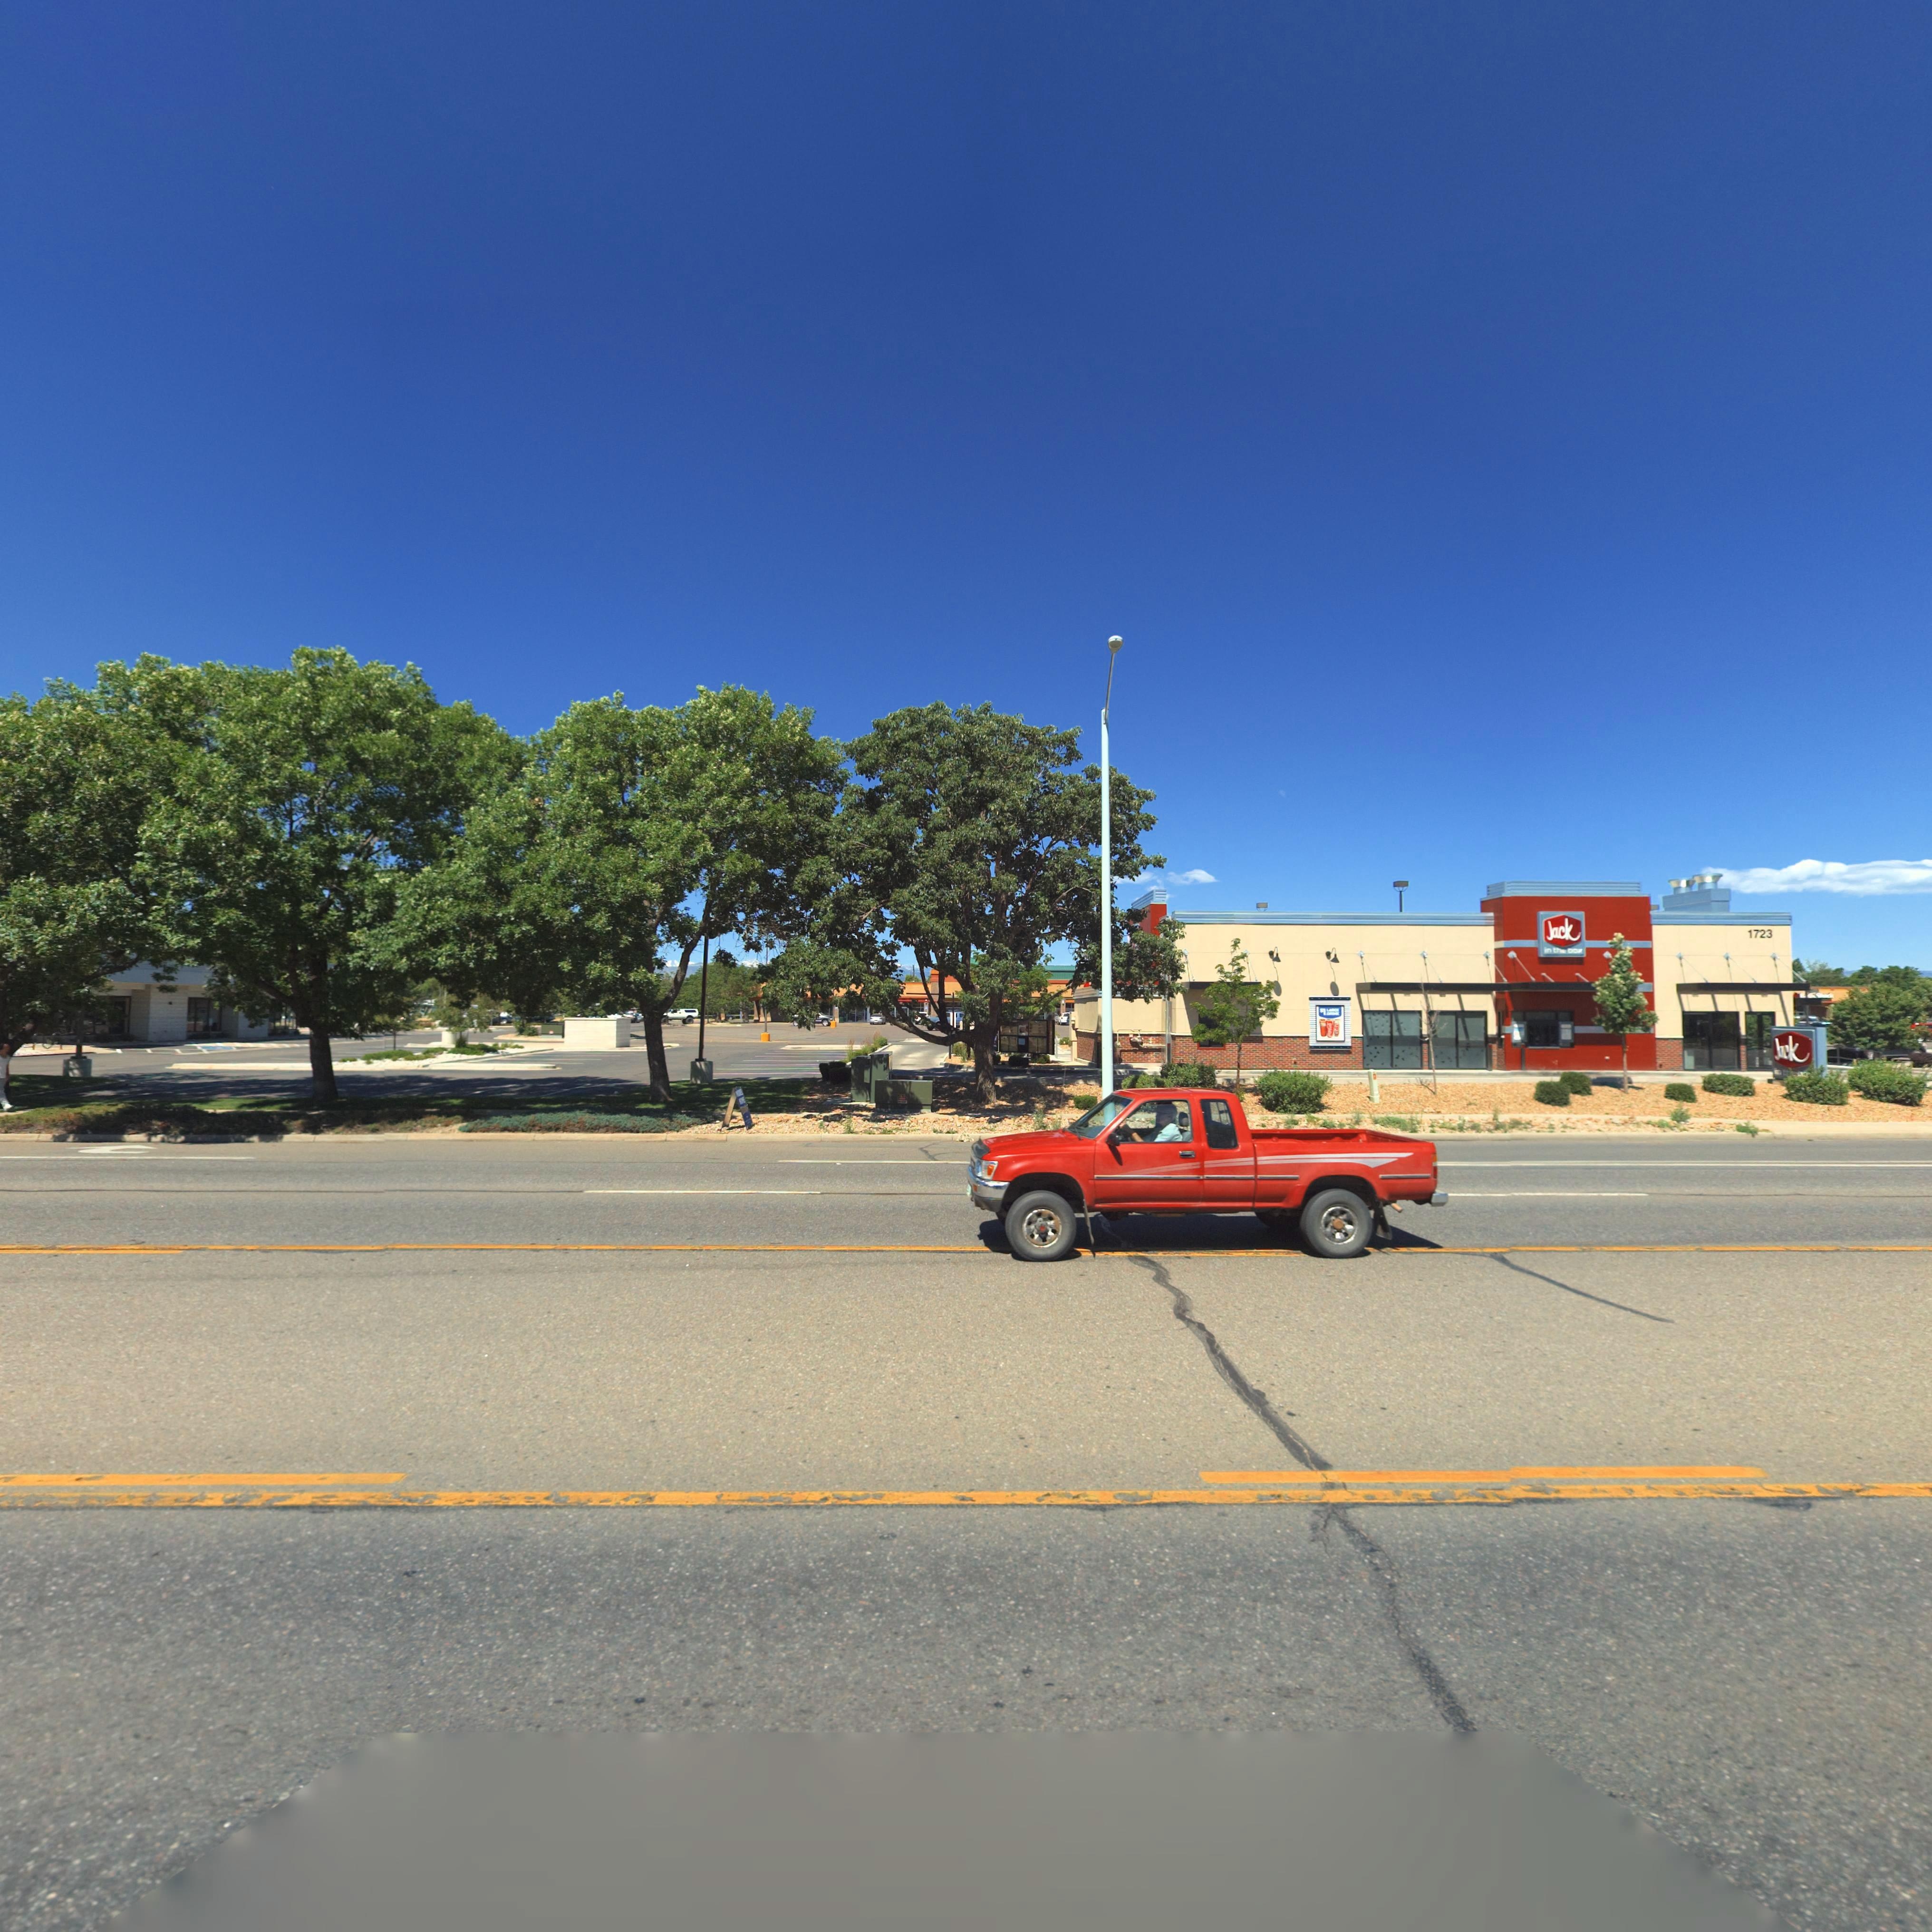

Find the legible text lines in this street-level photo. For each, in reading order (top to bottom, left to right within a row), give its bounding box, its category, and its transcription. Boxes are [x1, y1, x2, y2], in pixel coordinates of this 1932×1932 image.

[1546, 917, 1582, 941] BusinessName: Jack
[1747, 929, 1773, 938] StreetNumber: 1723
[1544, 947, 1583, 953] BusinessName: in the box
[1798, 992, 1835, 998] BusinessName: ***** S***k
[1773, 1035, 1810, 1063] BusinessName: Jack
[1773, 1067, 1812, 1078] BusinessName: *n t** ***